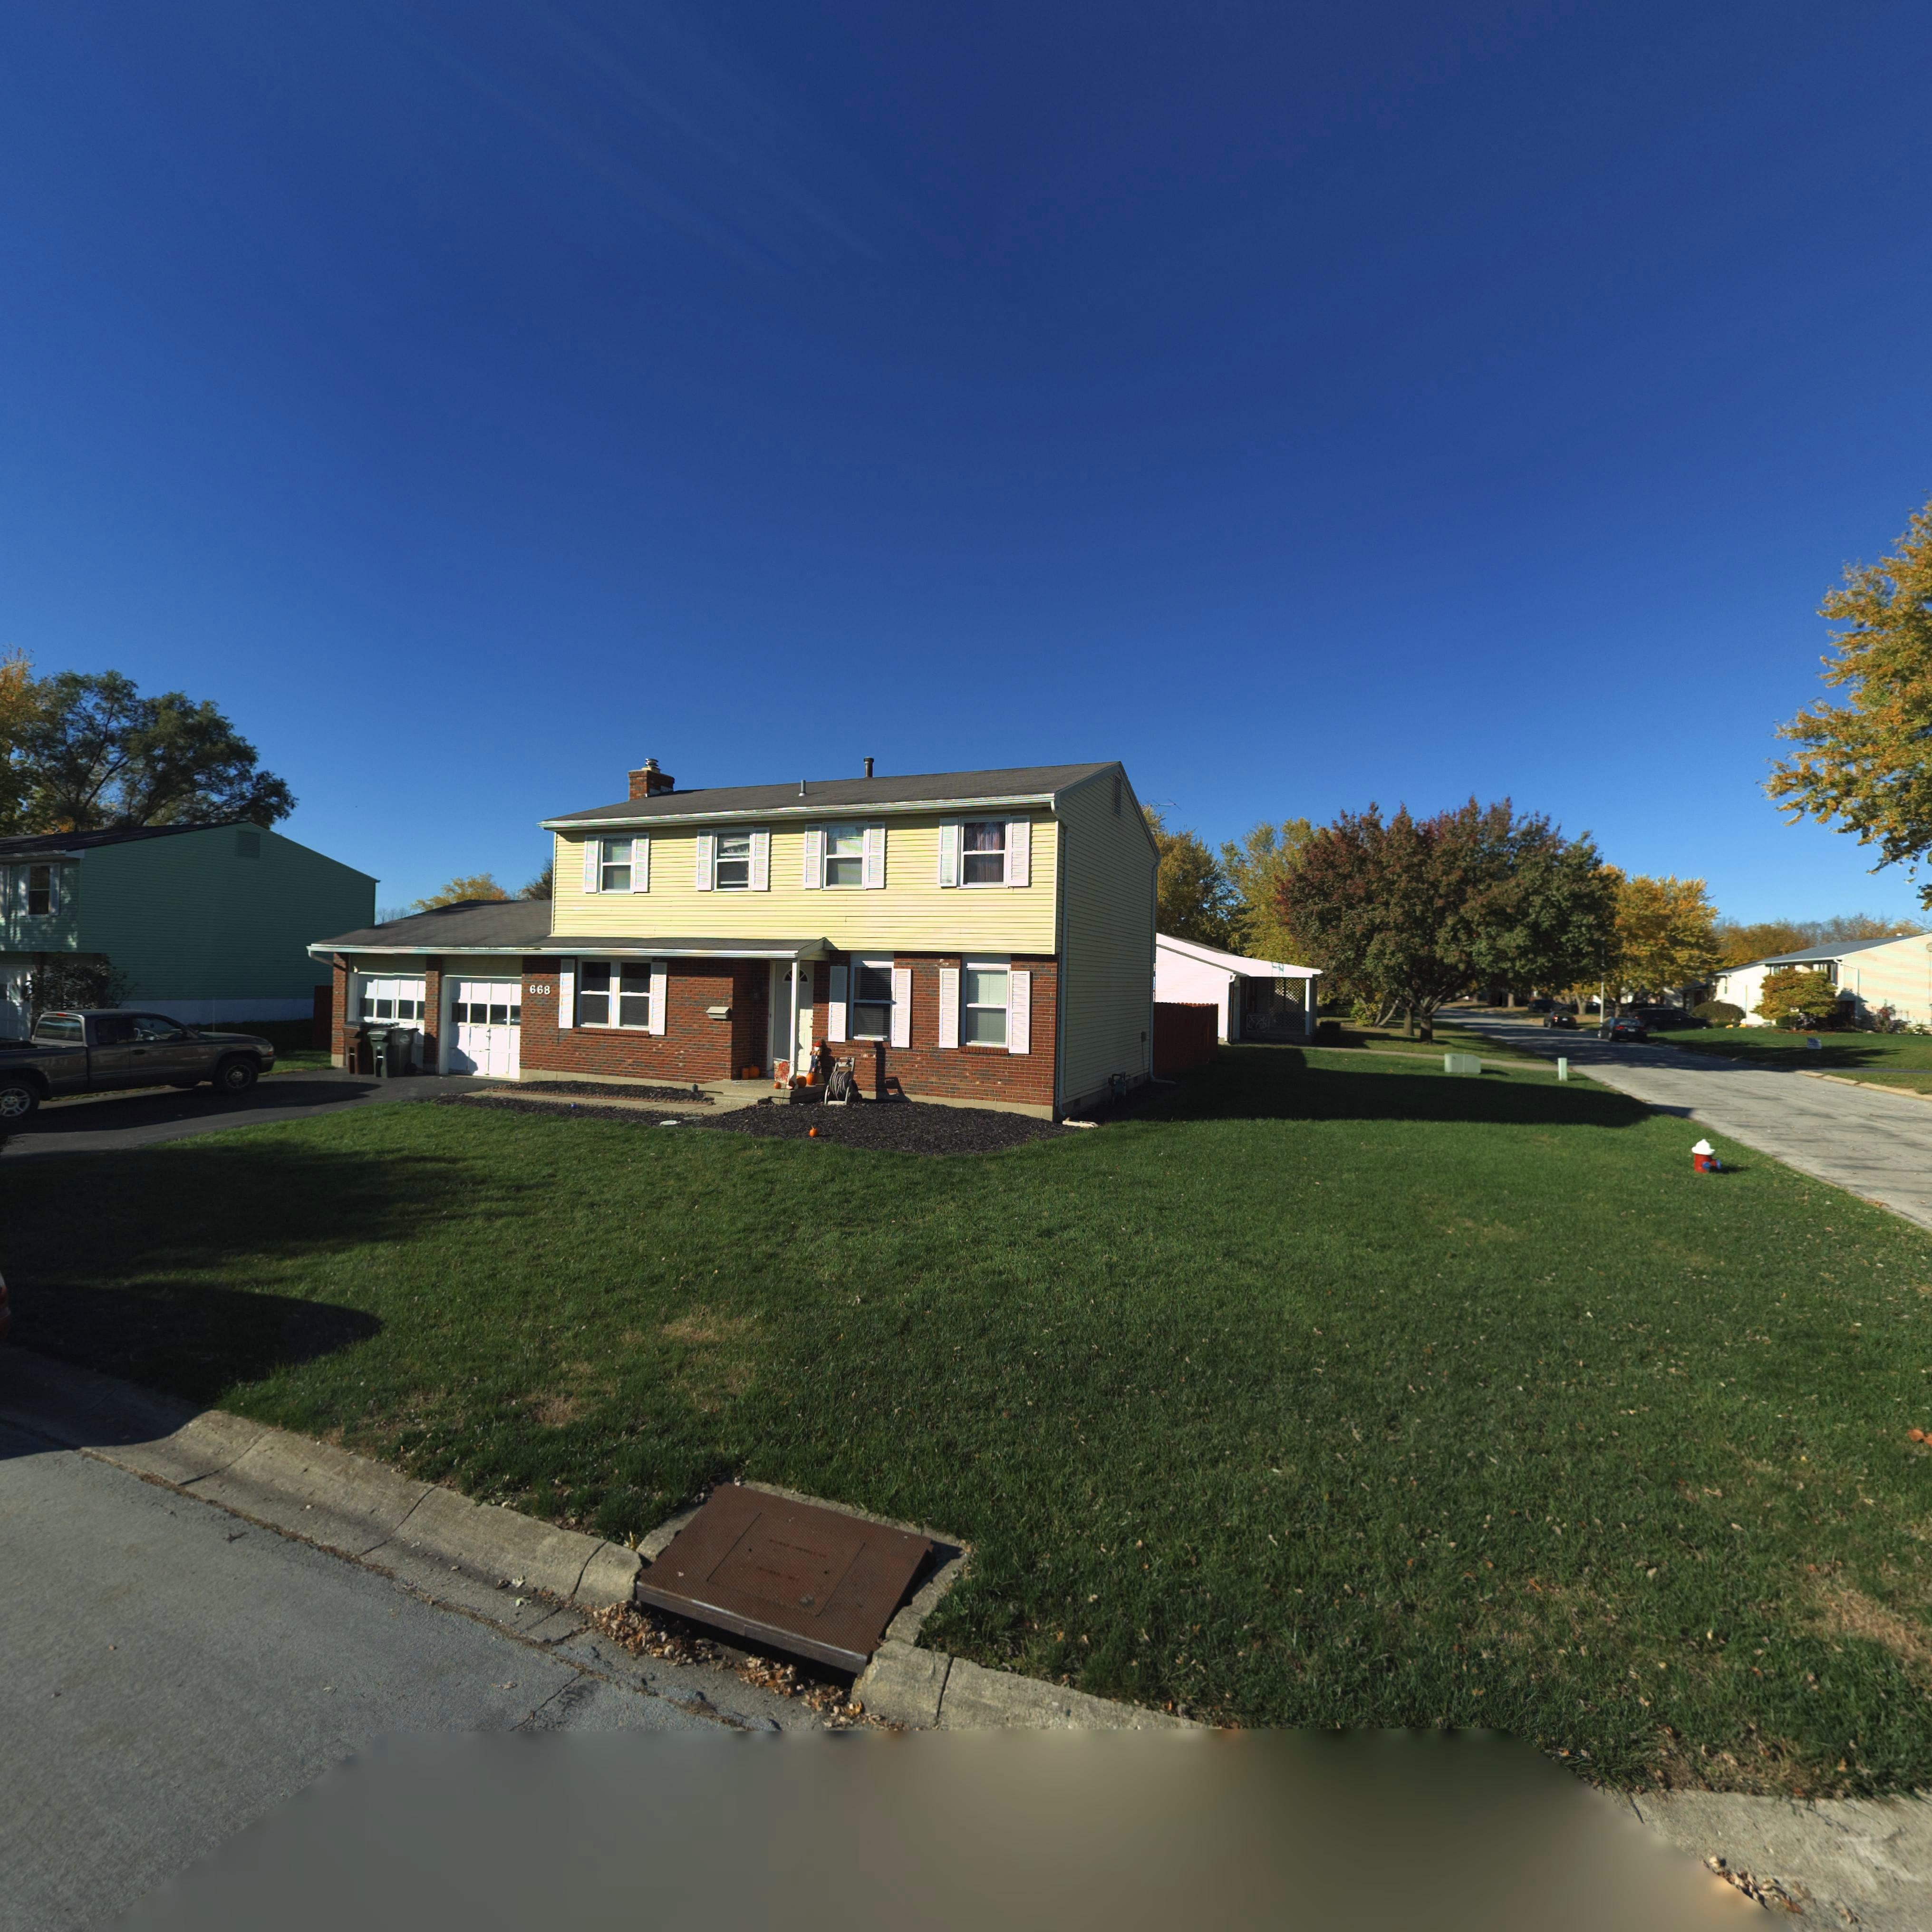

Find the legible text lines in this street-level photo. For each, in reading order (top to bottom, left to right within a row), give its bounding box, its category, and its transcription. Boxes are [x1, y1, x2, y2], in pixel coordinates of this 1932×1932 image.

[529, 984, 551, 995] StreetNumber: 668